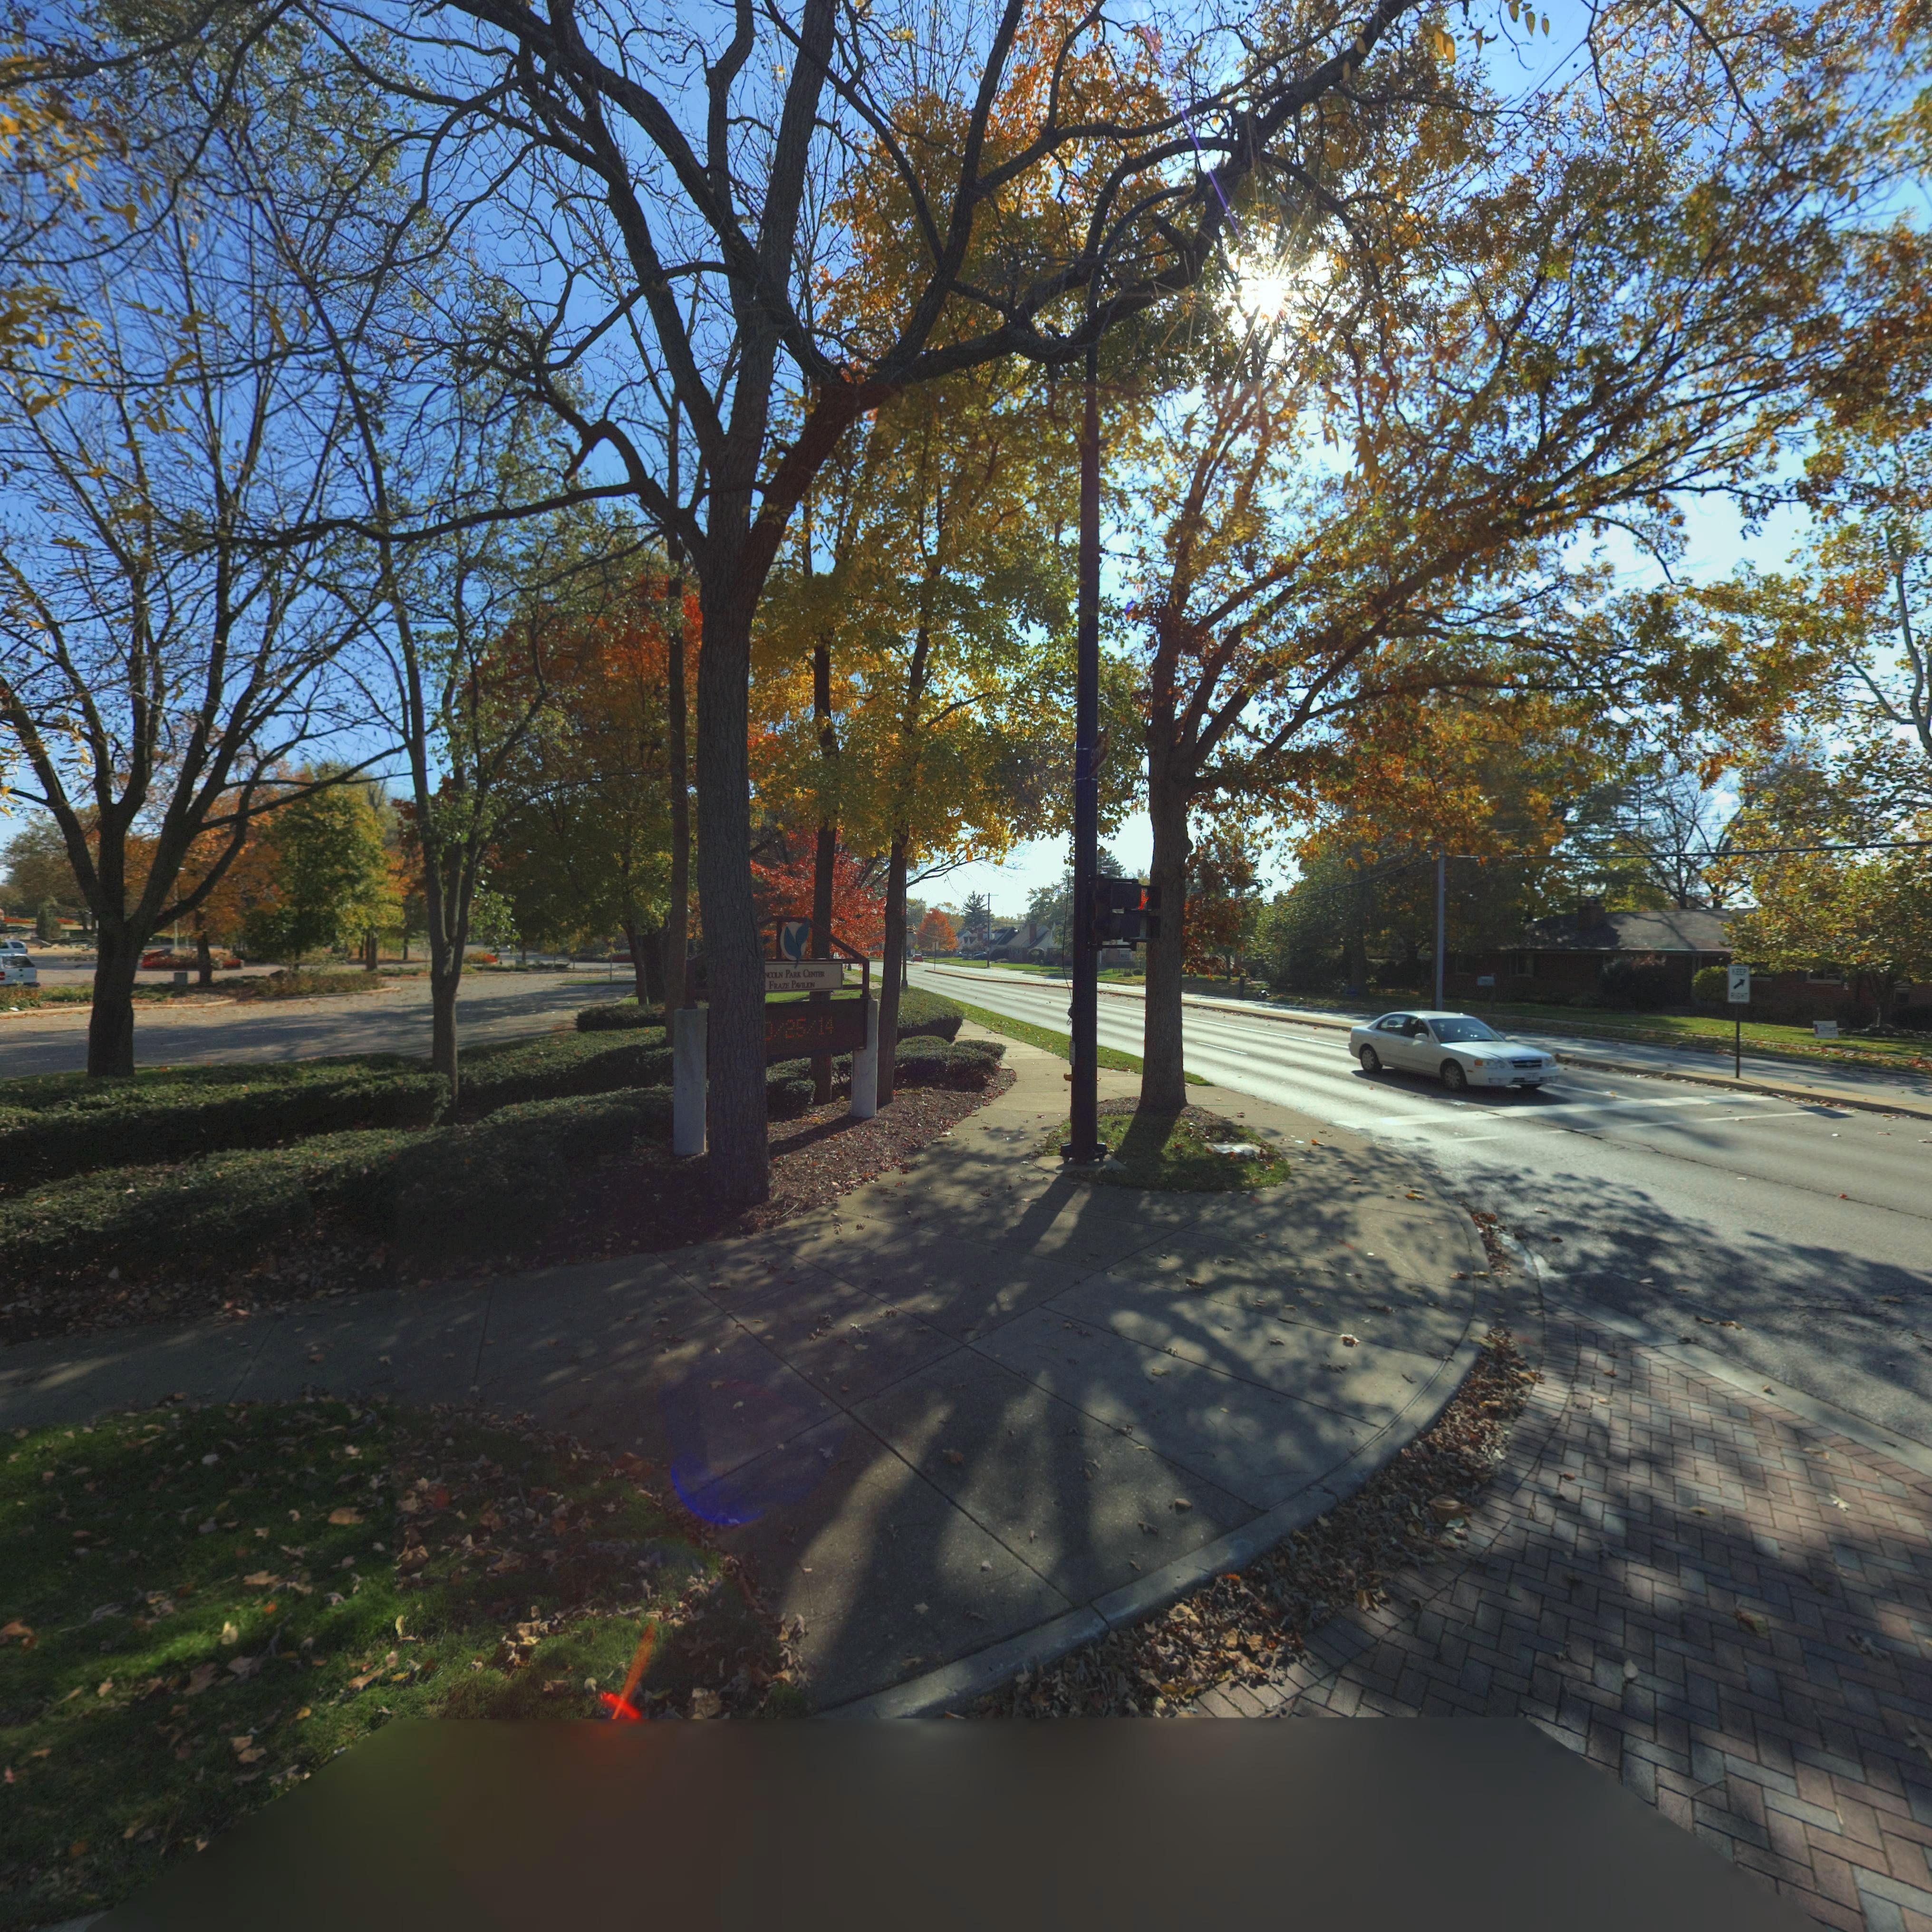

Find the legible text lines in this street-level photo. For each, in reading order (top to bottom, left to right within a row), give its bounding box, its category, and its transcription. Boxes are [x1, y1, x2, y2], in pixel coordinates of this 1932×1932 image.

[765, 969, 825, 979] None: NCOLN PARK CENTER
[1731, 967, 1746, 975] None: KEEP
[769, 979, 815, 990] None: FRAZE PAVILION
[1730, 992, 1748, 999] None: RIGHT
[773, 1015, 834, 1040] None: /25/14